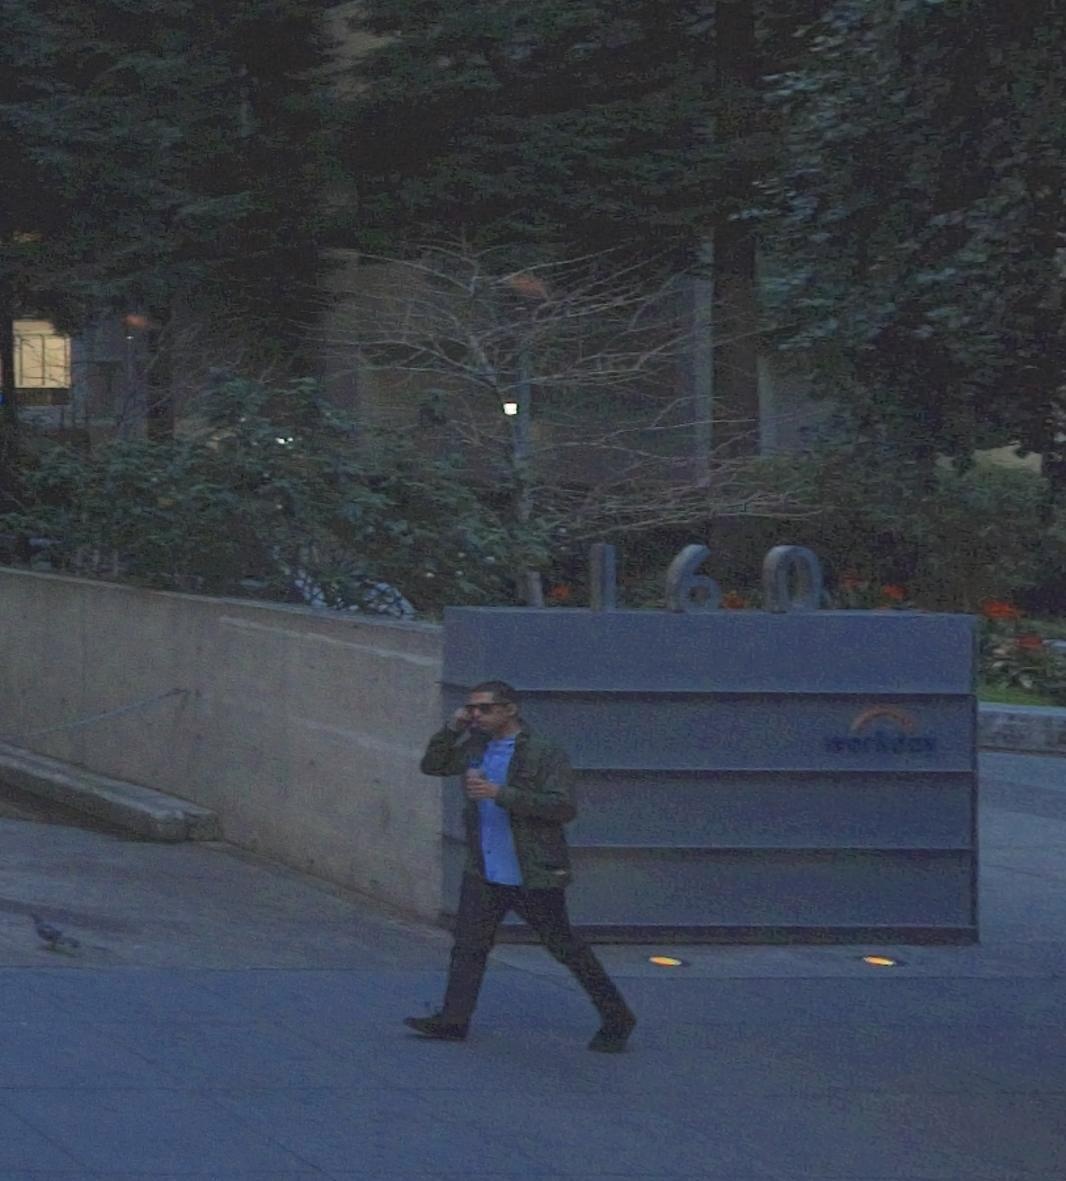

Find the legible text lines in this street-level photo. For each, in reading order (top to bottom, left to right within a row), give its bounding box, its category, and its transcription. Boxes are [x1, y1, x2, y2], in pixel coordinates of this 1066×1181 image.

[602, 542, 825, 614] StreetNumber: 160